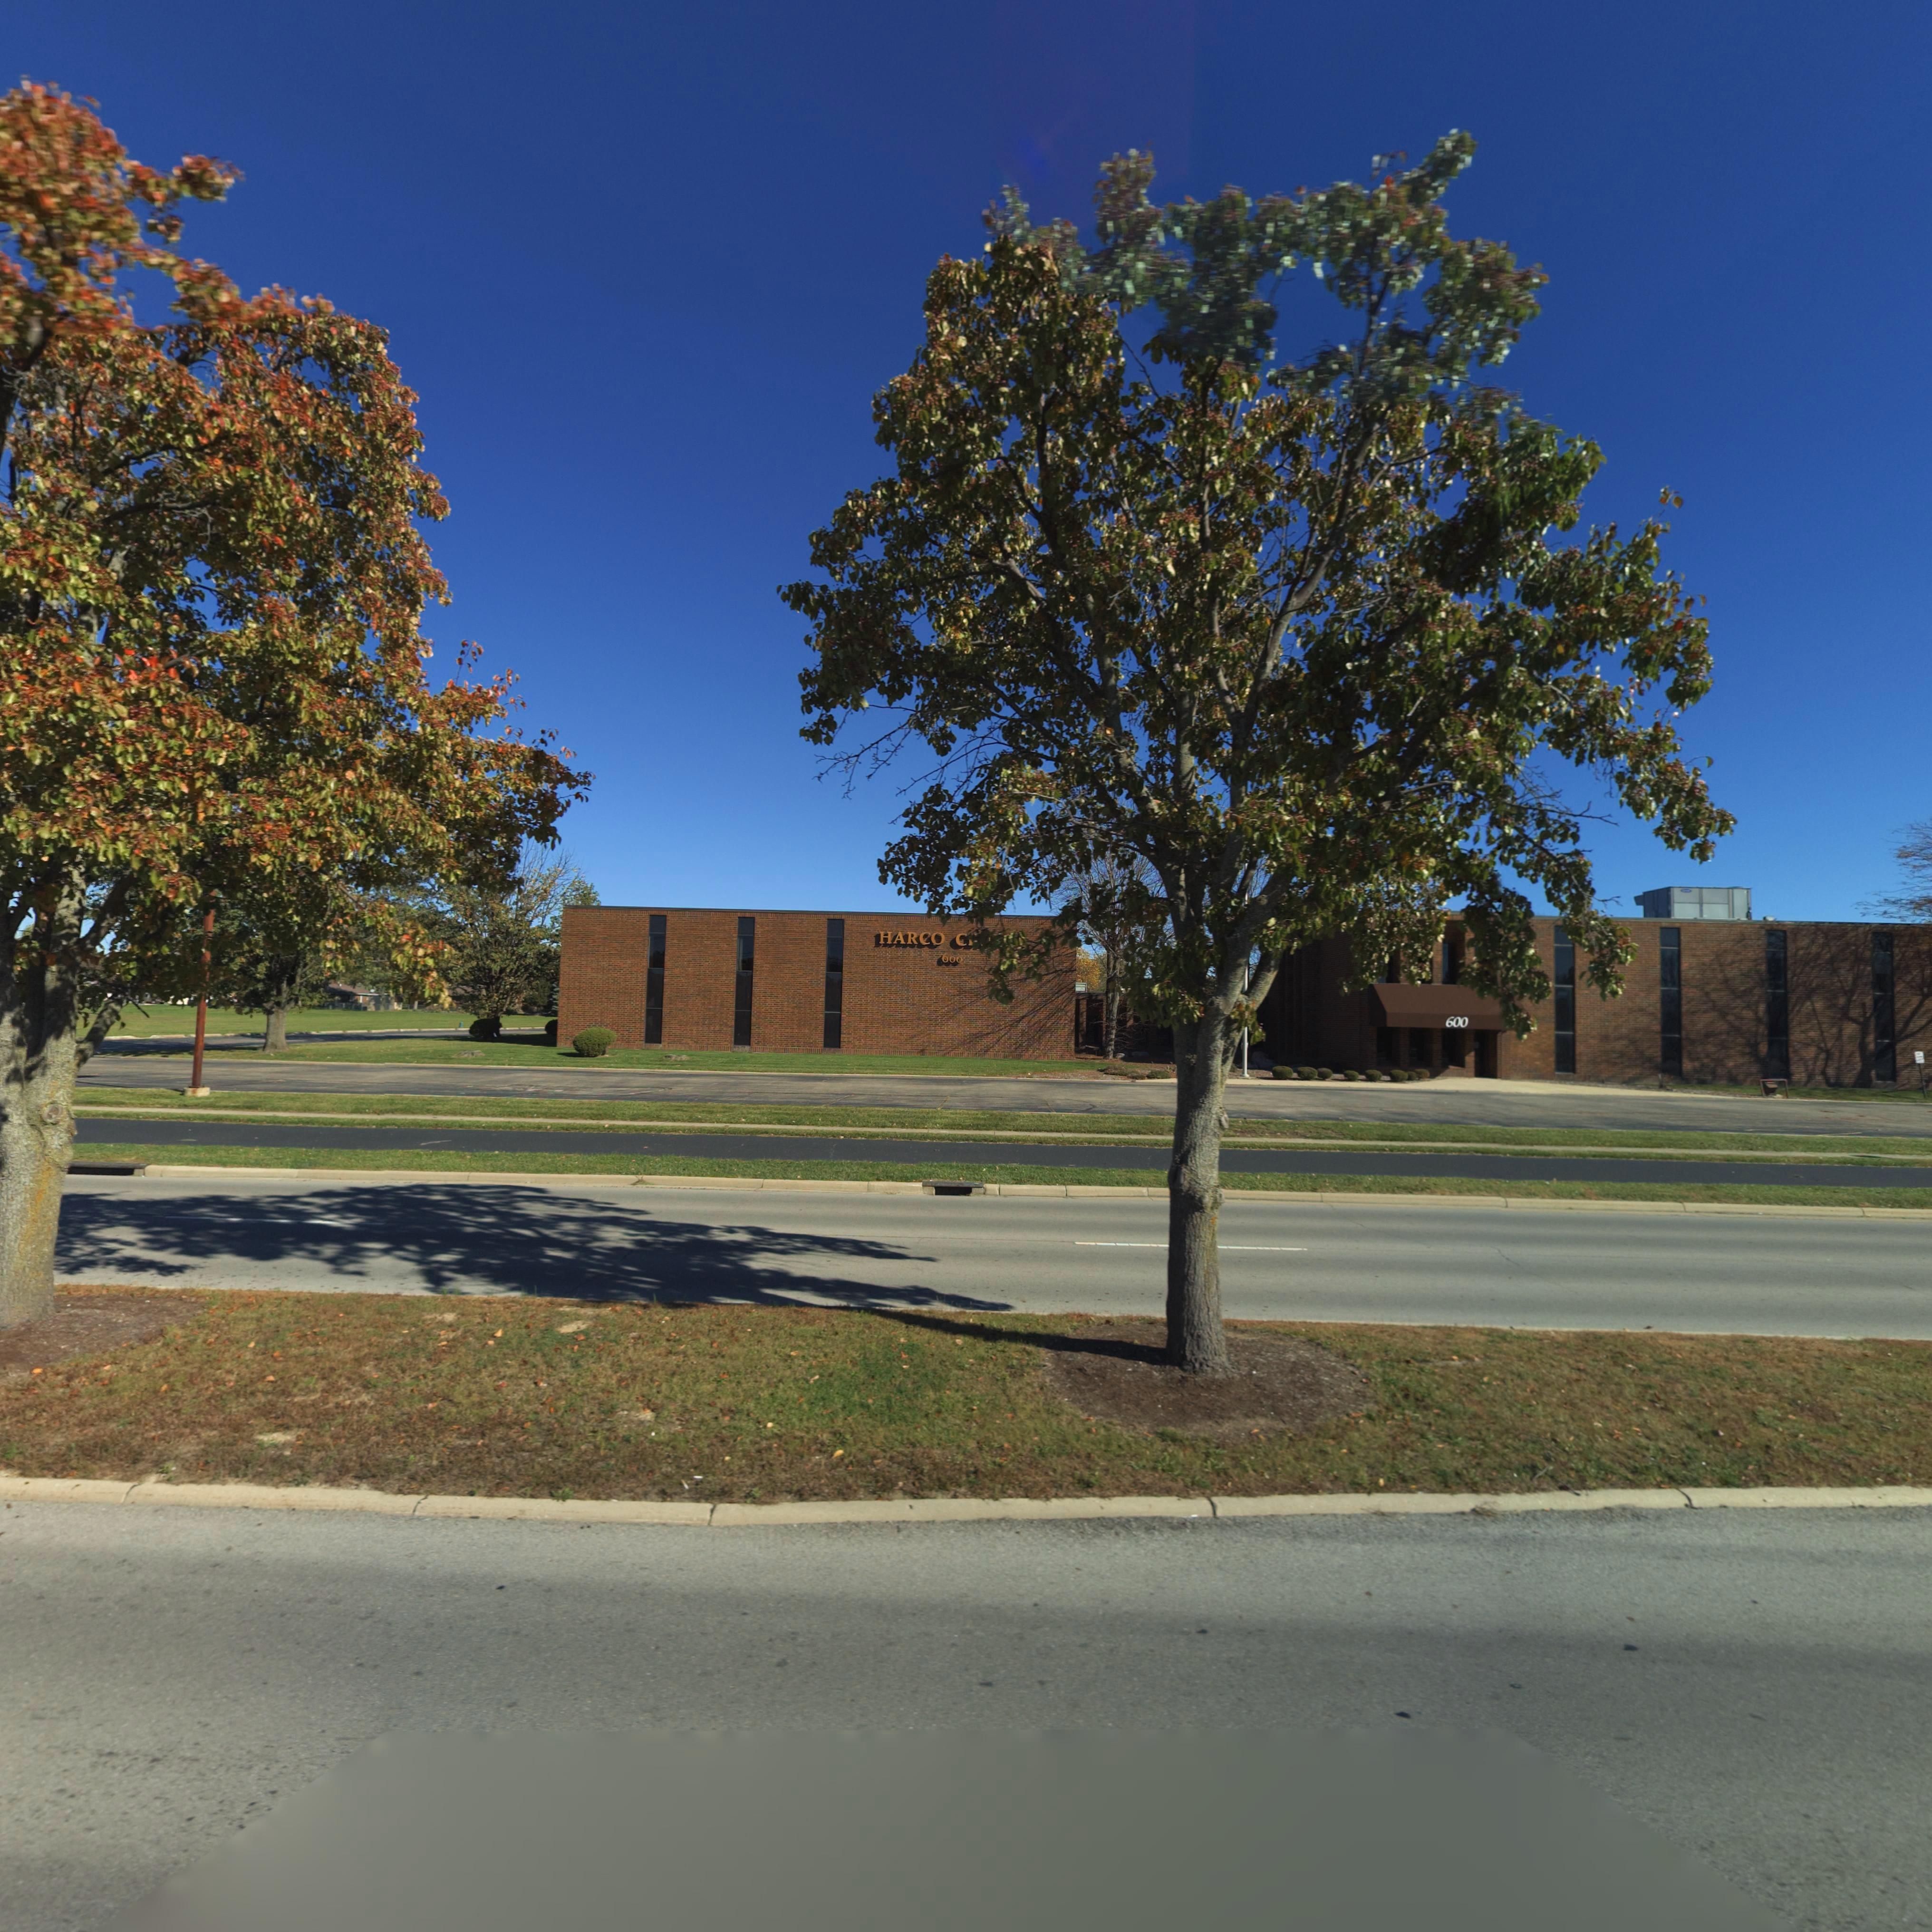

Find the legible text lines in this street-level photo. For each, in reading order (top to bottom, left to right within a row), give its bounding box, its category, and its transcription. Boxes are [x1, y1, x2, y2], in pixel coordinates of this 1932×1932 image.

[878, 931, 968, 947] BusinessName: HARCO C
[940, 952, 963, 964] StreetNumber: 600
[1444, 1015, 1470, 1029] StreetNumber: 600